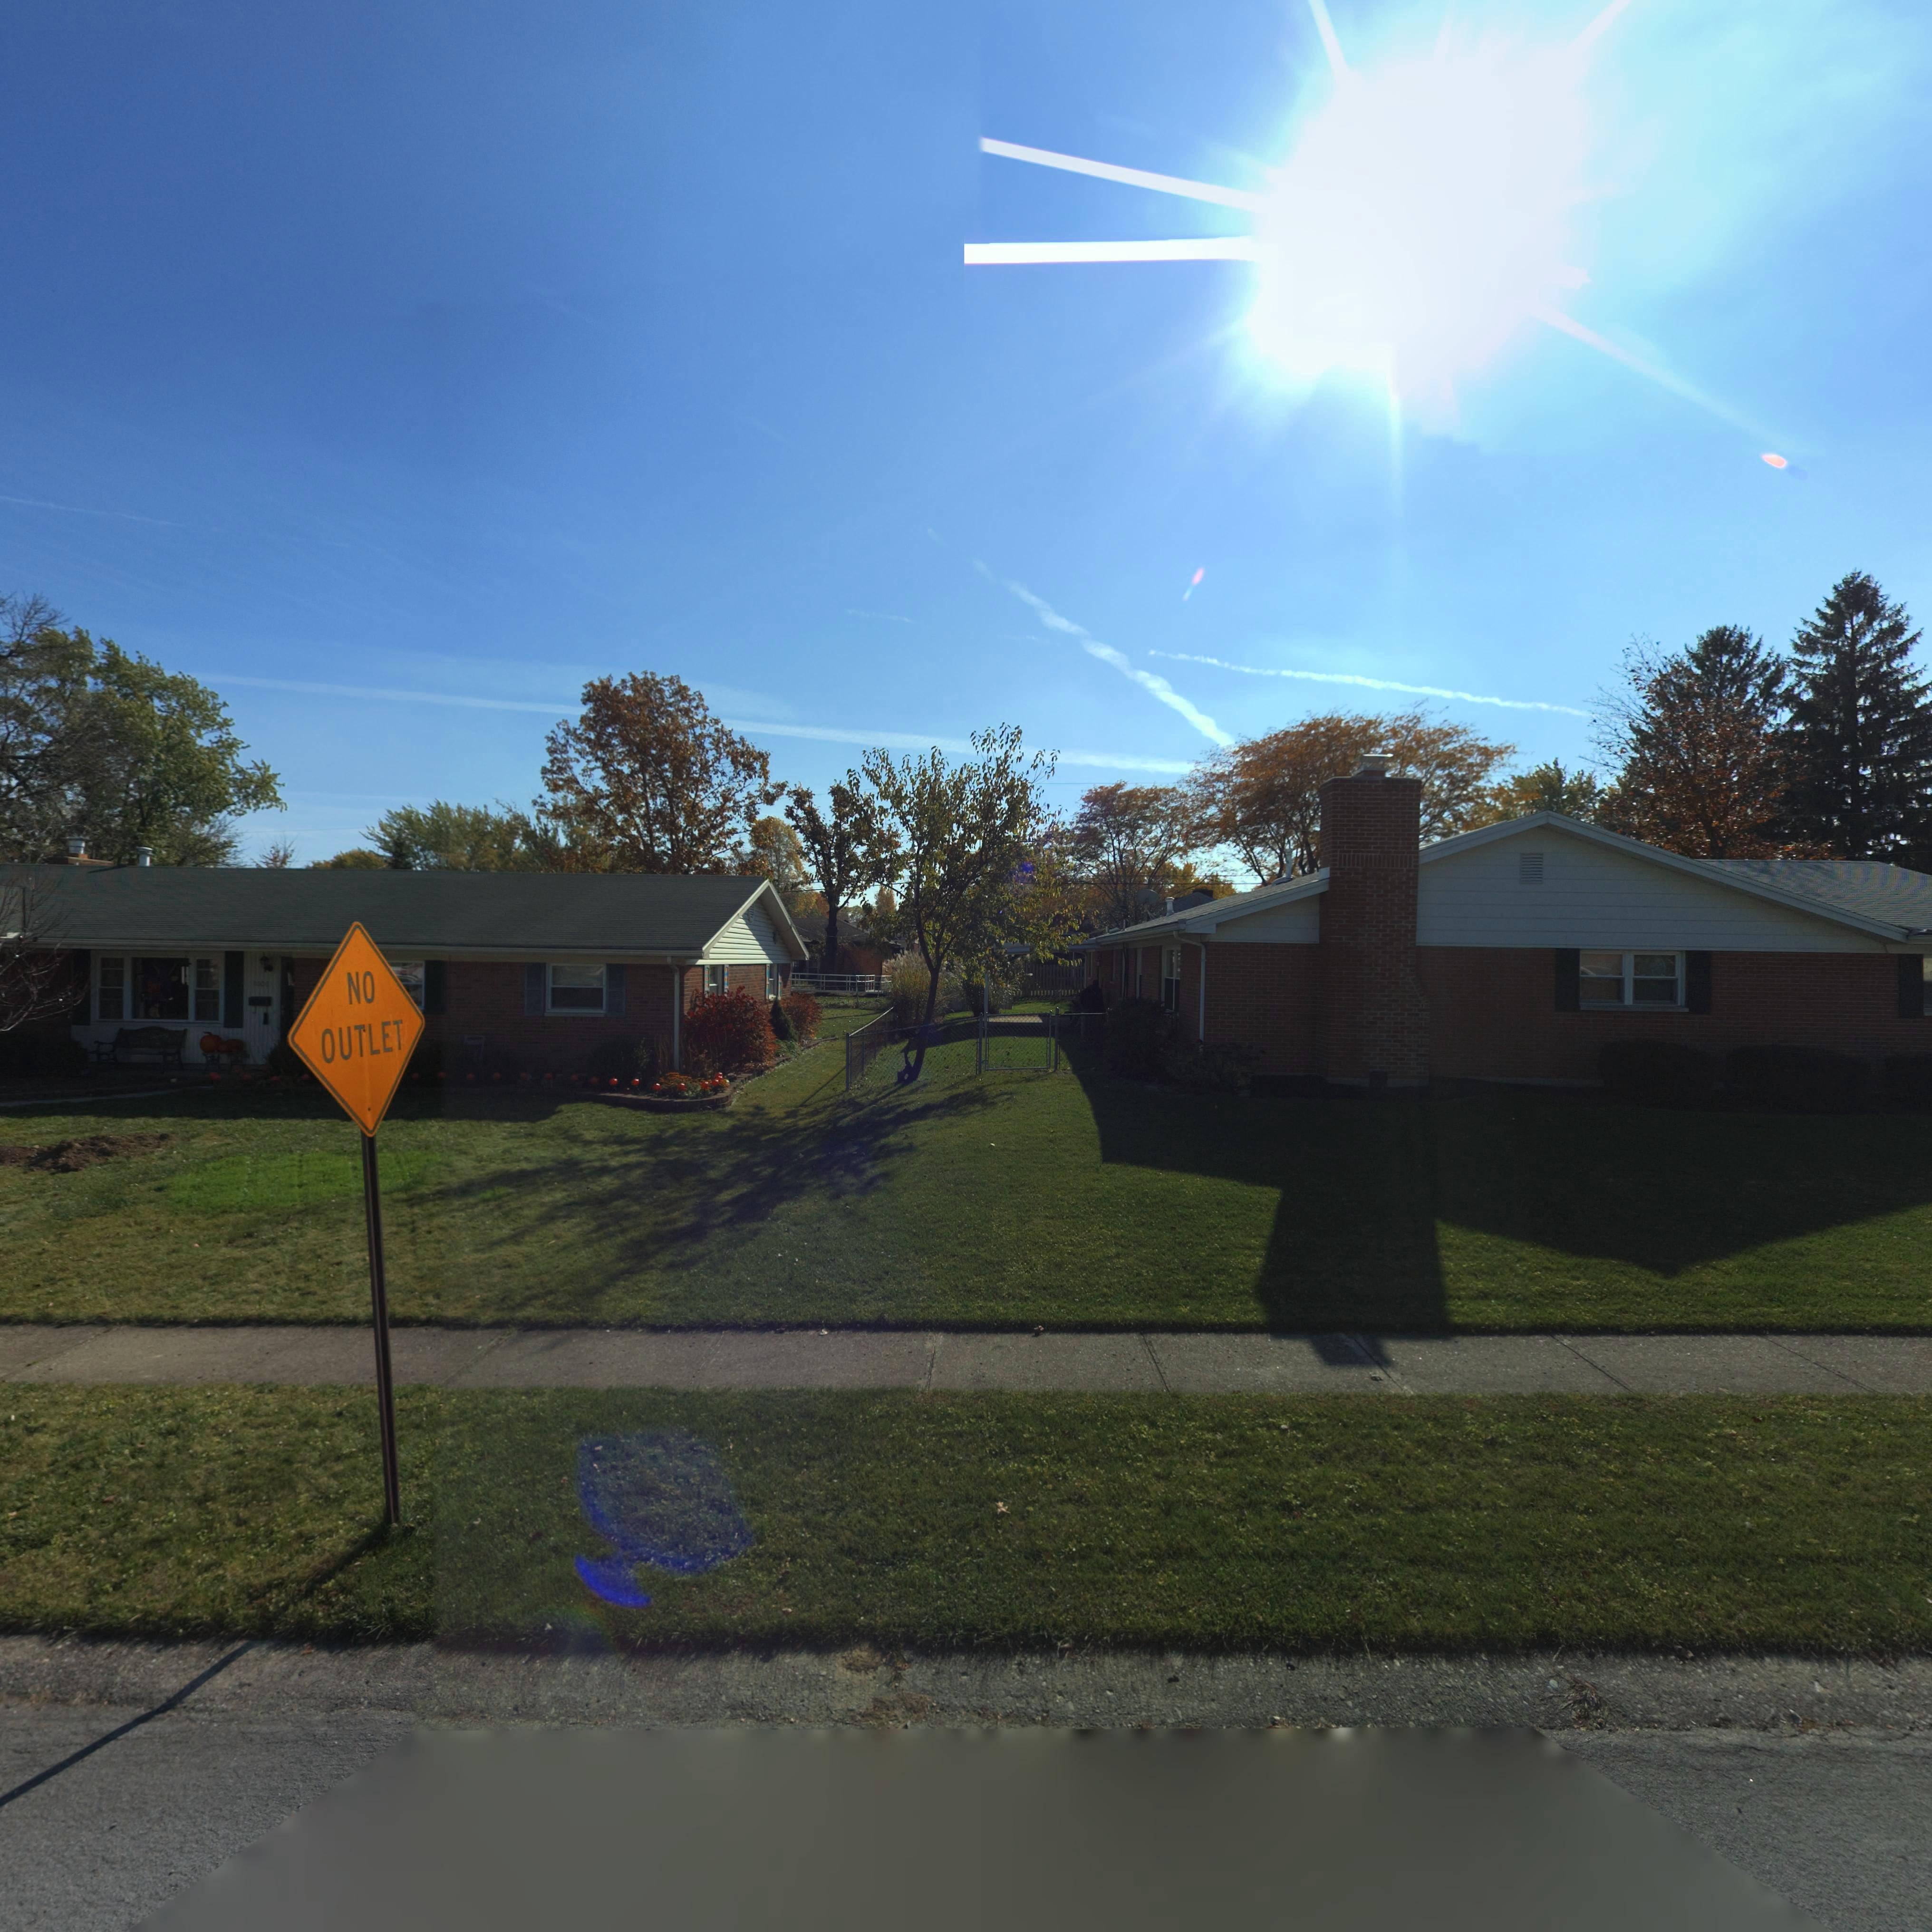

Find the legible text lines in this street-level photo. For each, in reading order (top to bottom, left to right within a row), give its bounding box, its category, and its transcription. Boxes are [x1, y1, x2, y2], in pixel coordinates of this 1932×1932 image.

[252, 980, 270, 988] StreetNumber: 100*